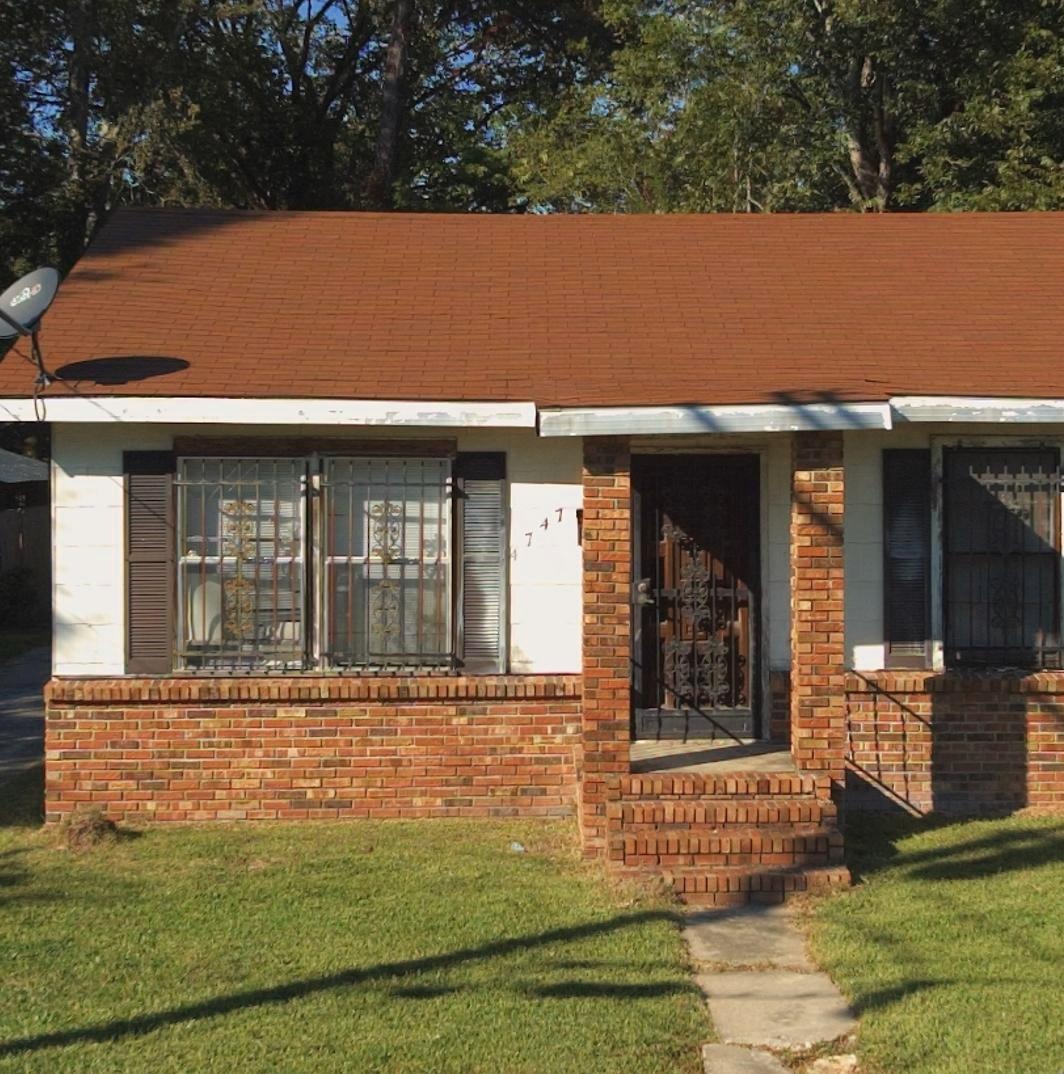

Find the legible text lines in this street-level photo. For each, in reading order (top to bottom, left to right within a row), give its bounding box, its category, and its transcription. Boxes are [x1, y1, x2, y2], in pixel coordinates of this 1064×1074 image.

[508, 506, 565, 562] StreetNumber: 4747